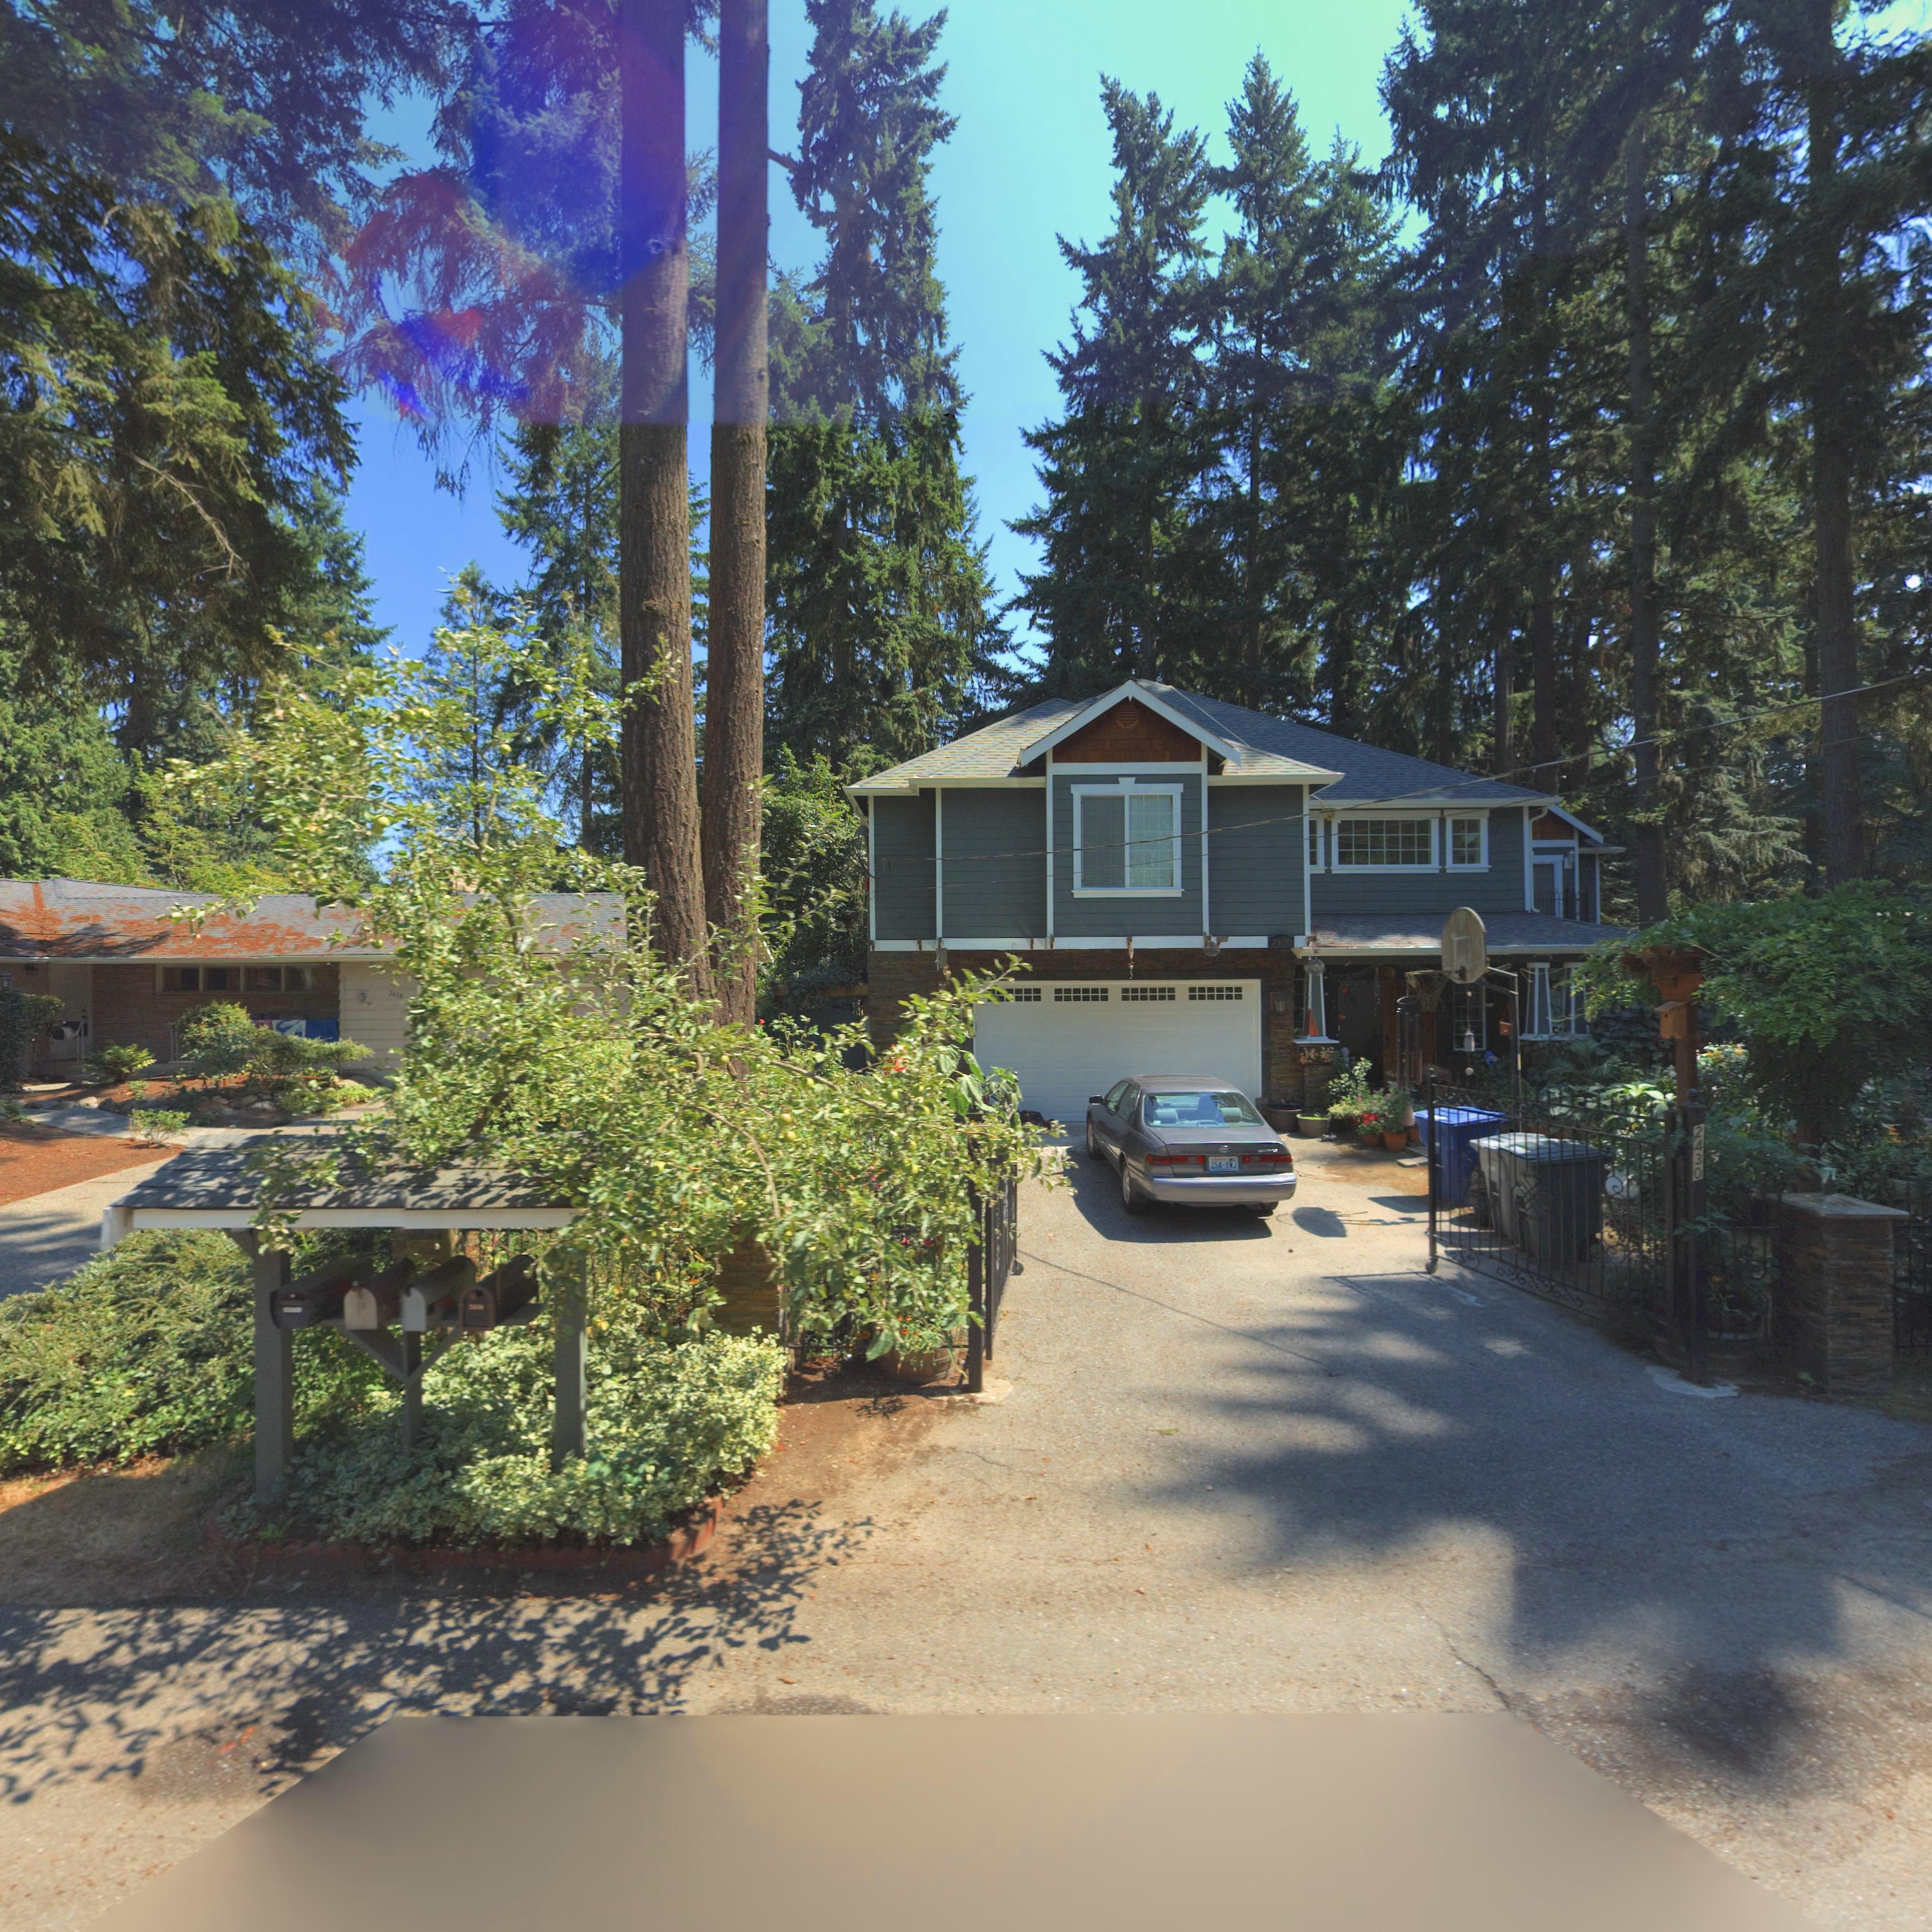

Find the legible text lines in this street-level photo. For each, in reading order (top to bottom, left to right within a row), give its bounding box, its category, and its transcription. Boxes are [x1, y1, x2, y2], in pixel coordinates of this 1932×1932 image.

[388, 990, 403, 999] StreetNumber: 2*3*